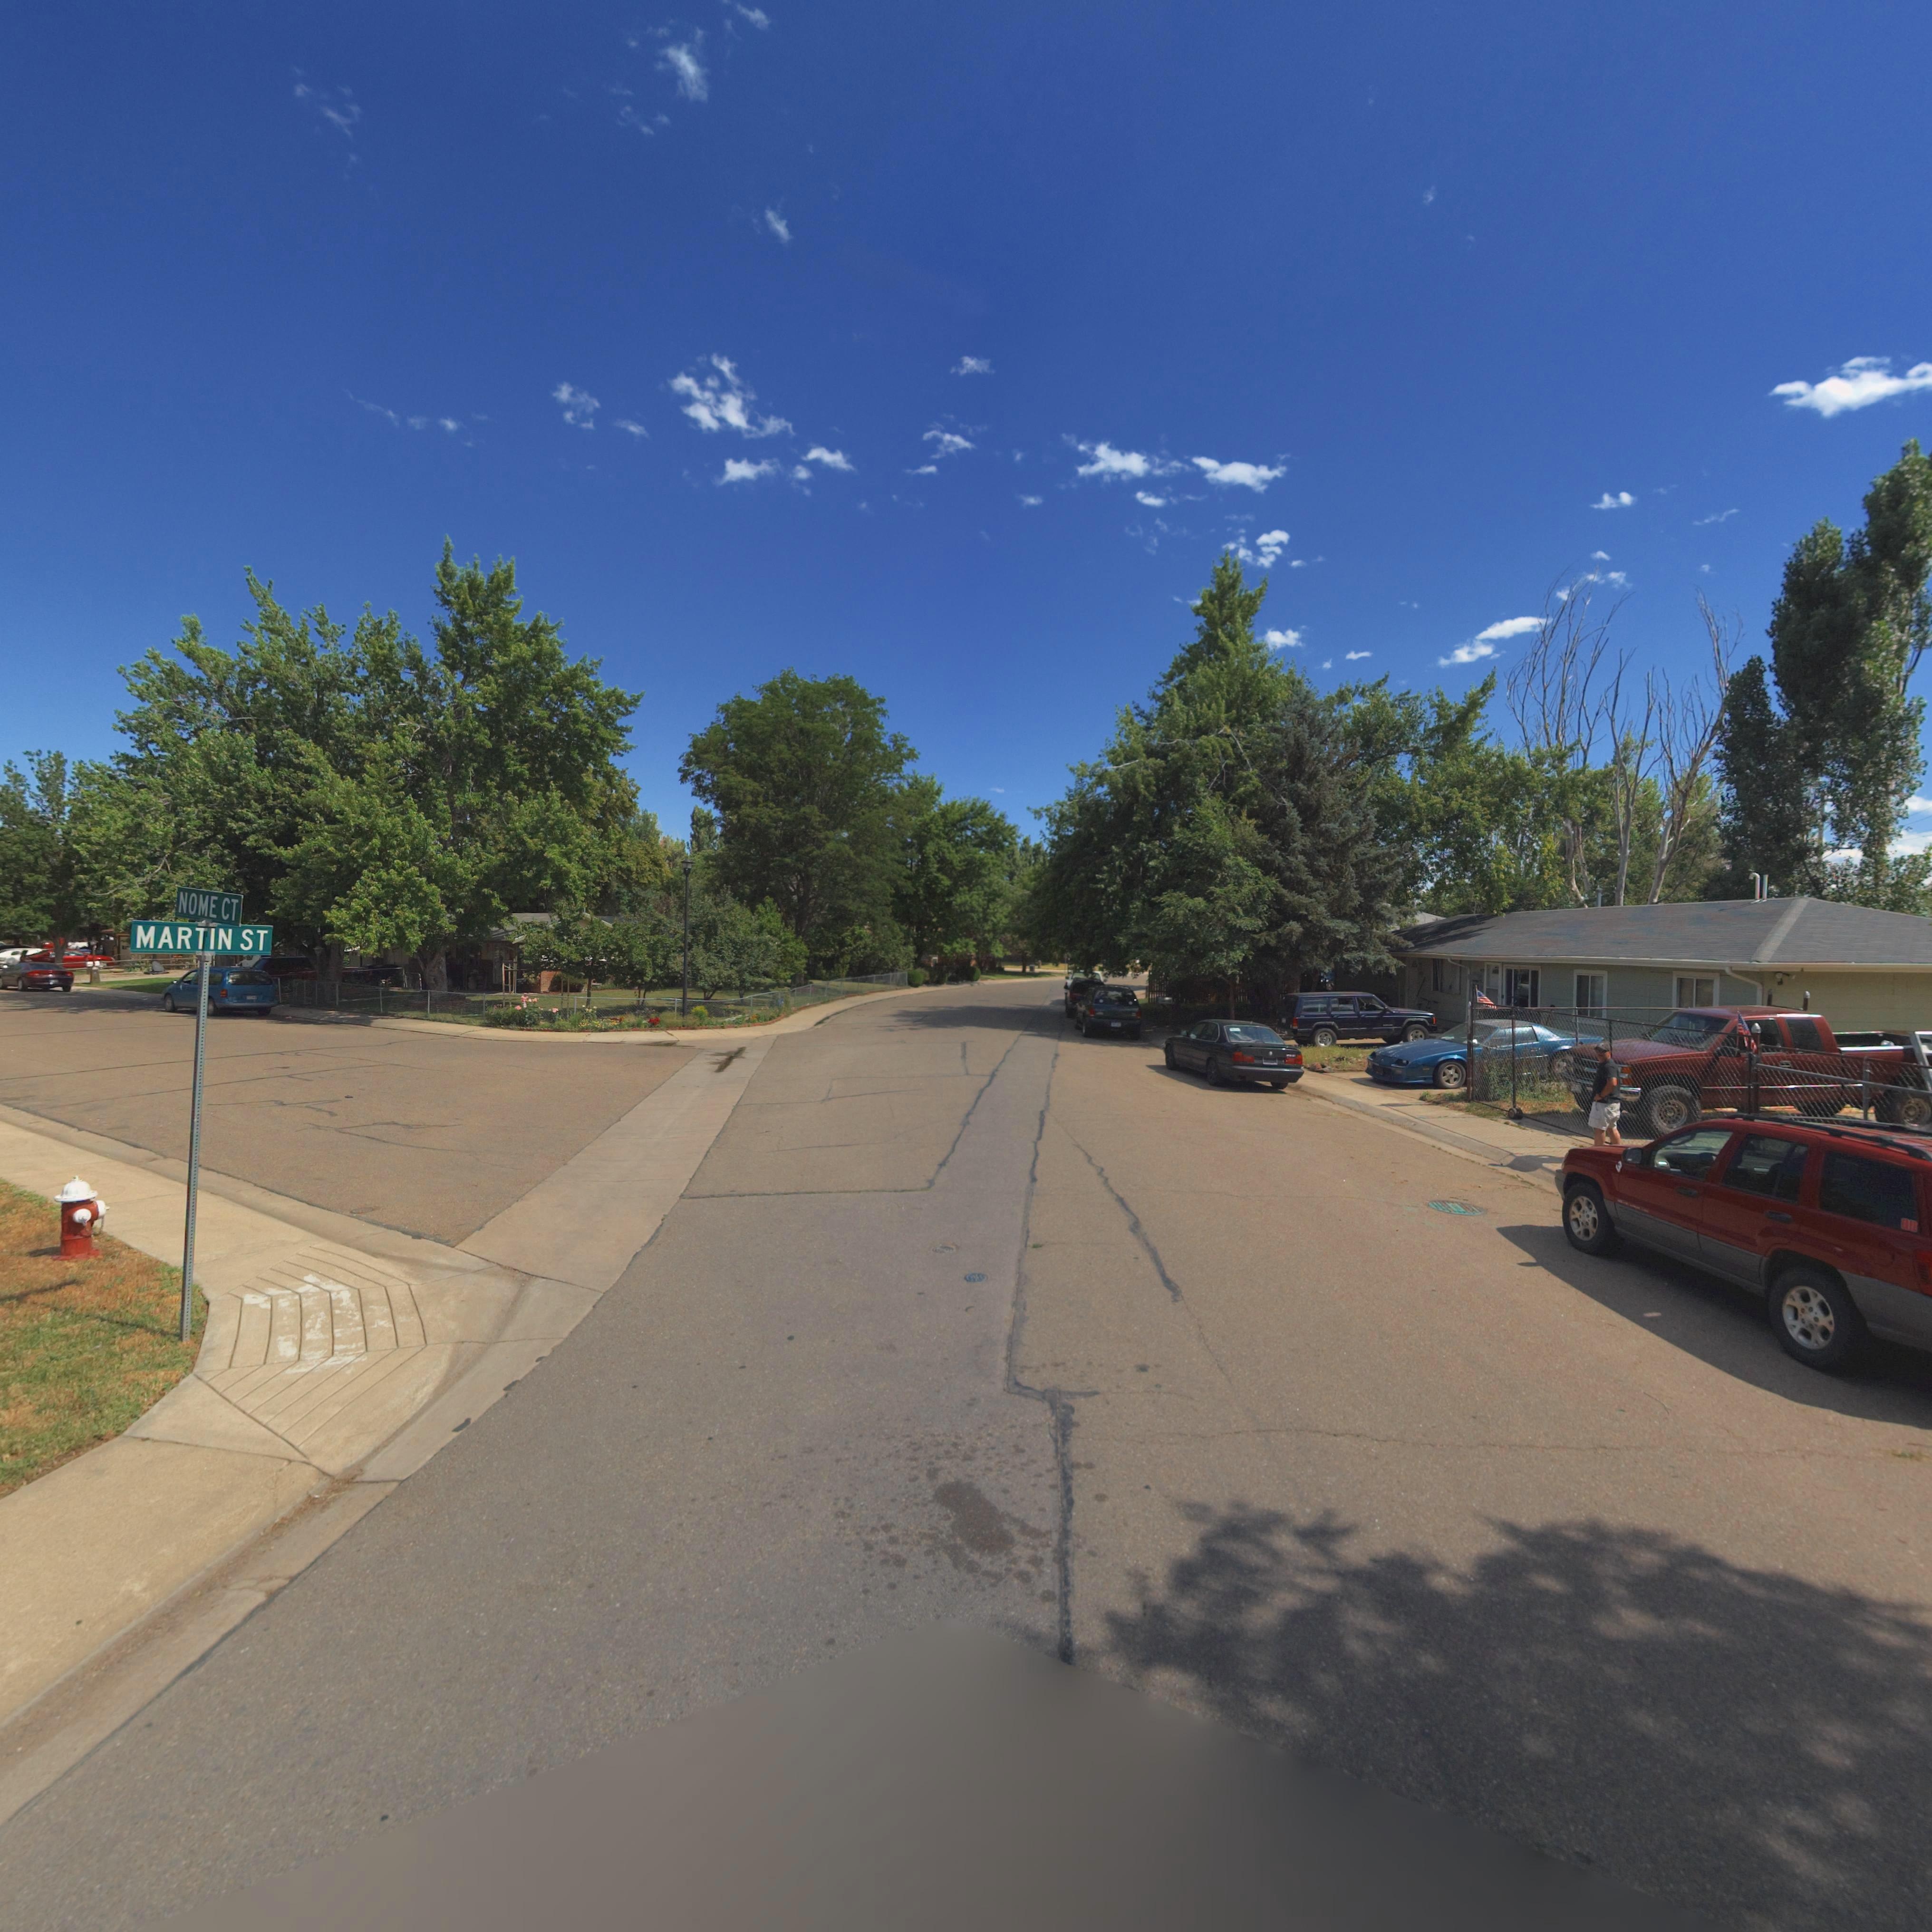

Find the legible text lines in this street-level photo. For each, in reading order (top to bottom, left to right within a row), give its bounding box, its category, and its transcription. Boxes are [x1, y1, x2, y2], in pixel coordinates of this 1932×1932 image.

[177, 891, 239, 922] StreetName: NOME CT
[135, 924, 269, 951] StreetName: MARTIN ST